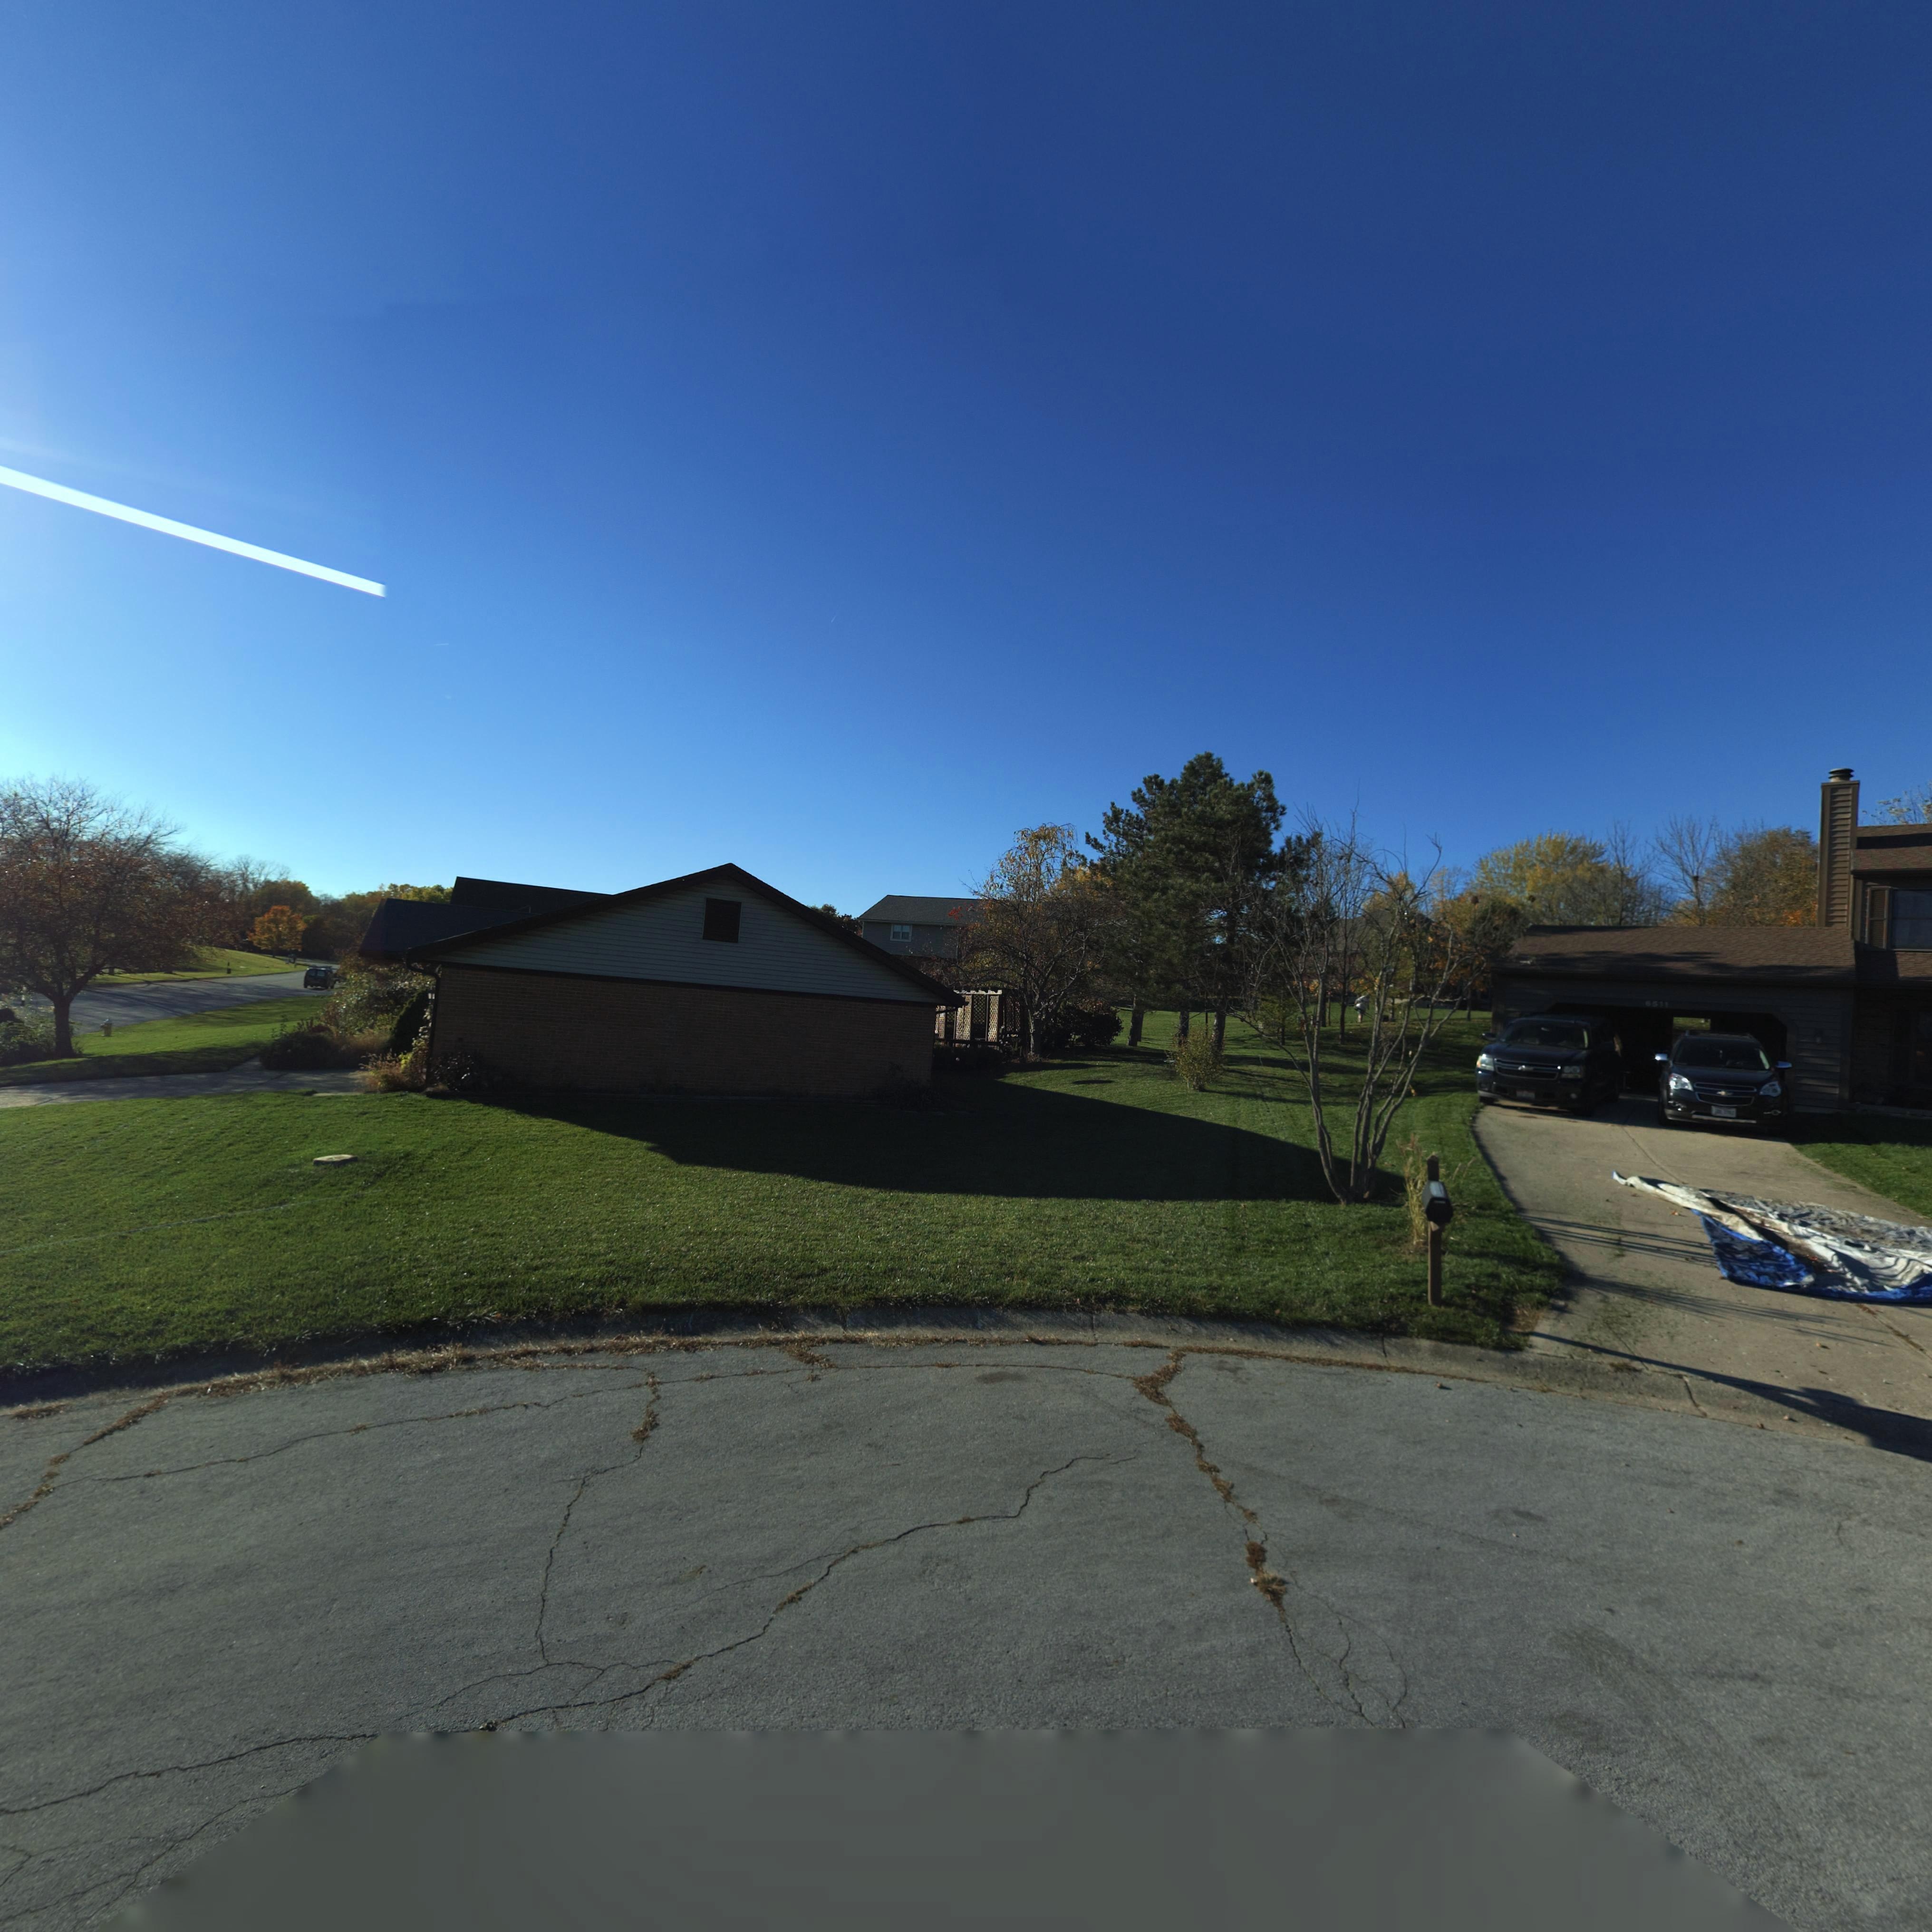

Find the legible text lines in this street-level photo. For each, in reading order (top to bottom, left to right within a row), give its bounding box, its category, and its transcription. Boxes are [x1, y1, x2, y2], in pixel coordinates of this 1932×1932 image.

[1643, 999, 1669, 1008] StreetNumber: 6511